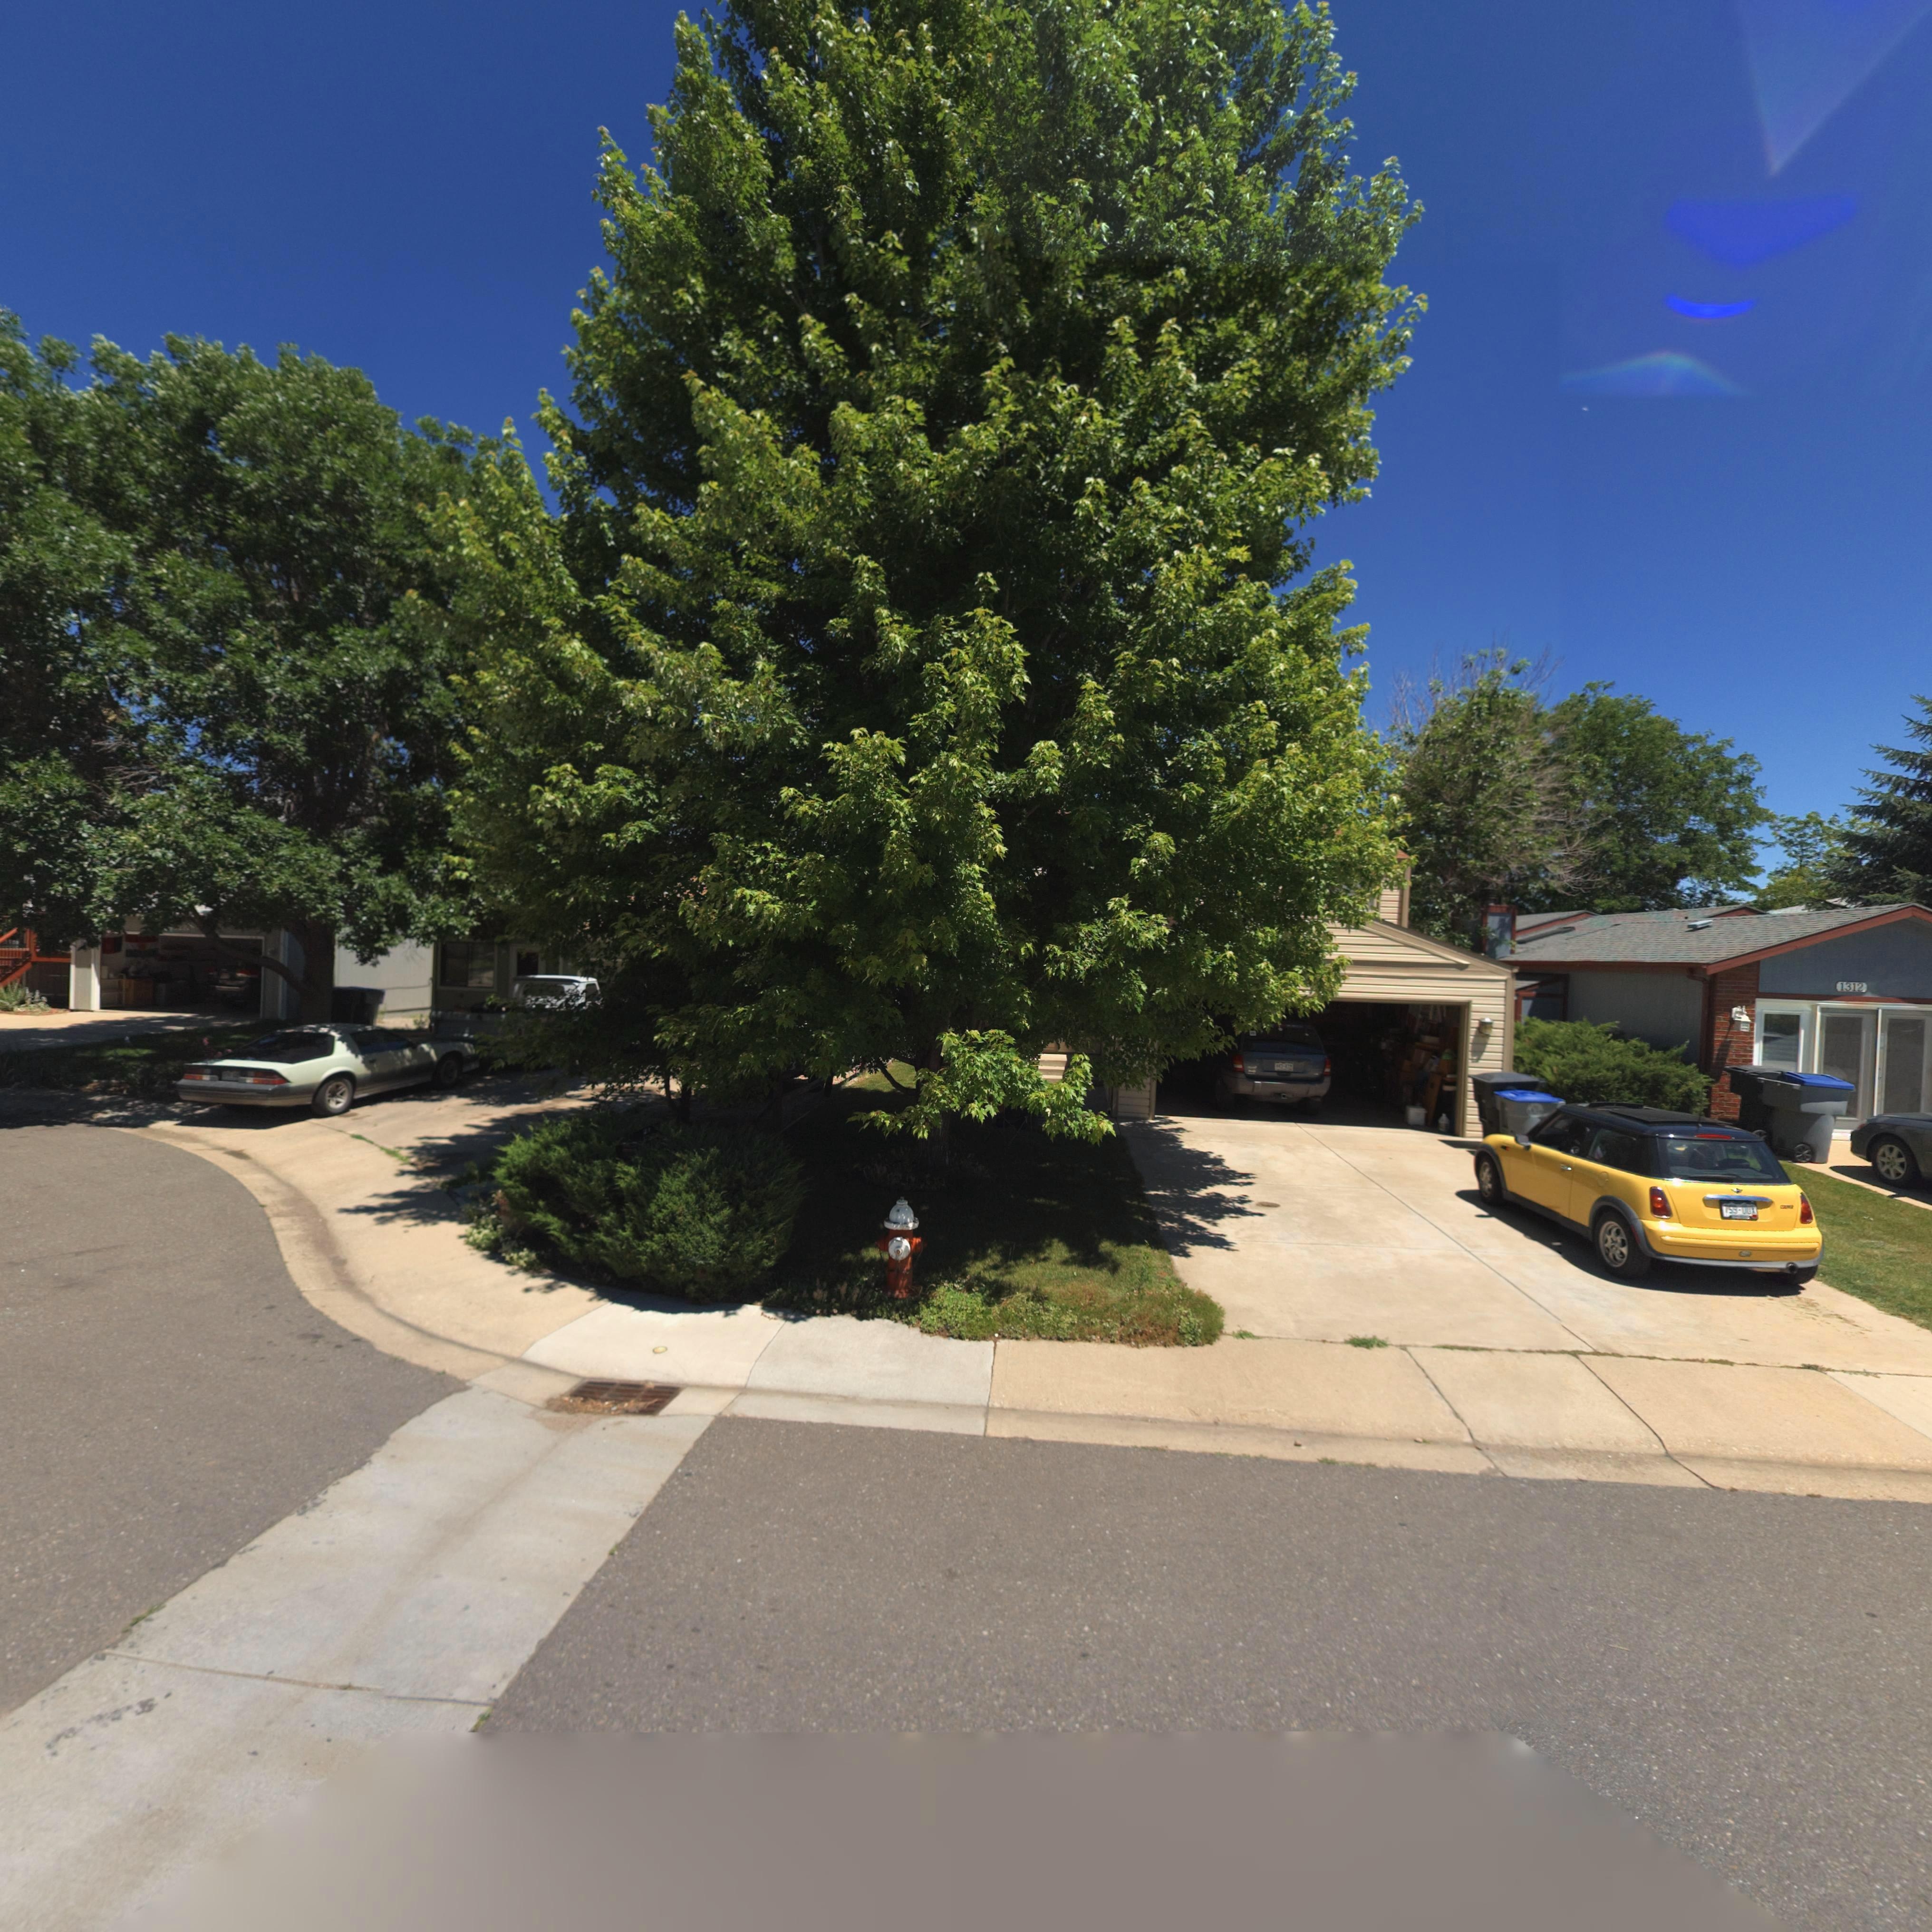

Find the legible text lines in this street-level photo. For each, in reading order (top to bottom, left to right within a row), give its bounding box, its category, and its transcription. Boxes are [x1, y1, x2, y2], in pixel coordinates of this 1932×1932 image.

[1840, 982, 1863, 992] StreetNumber: 1312